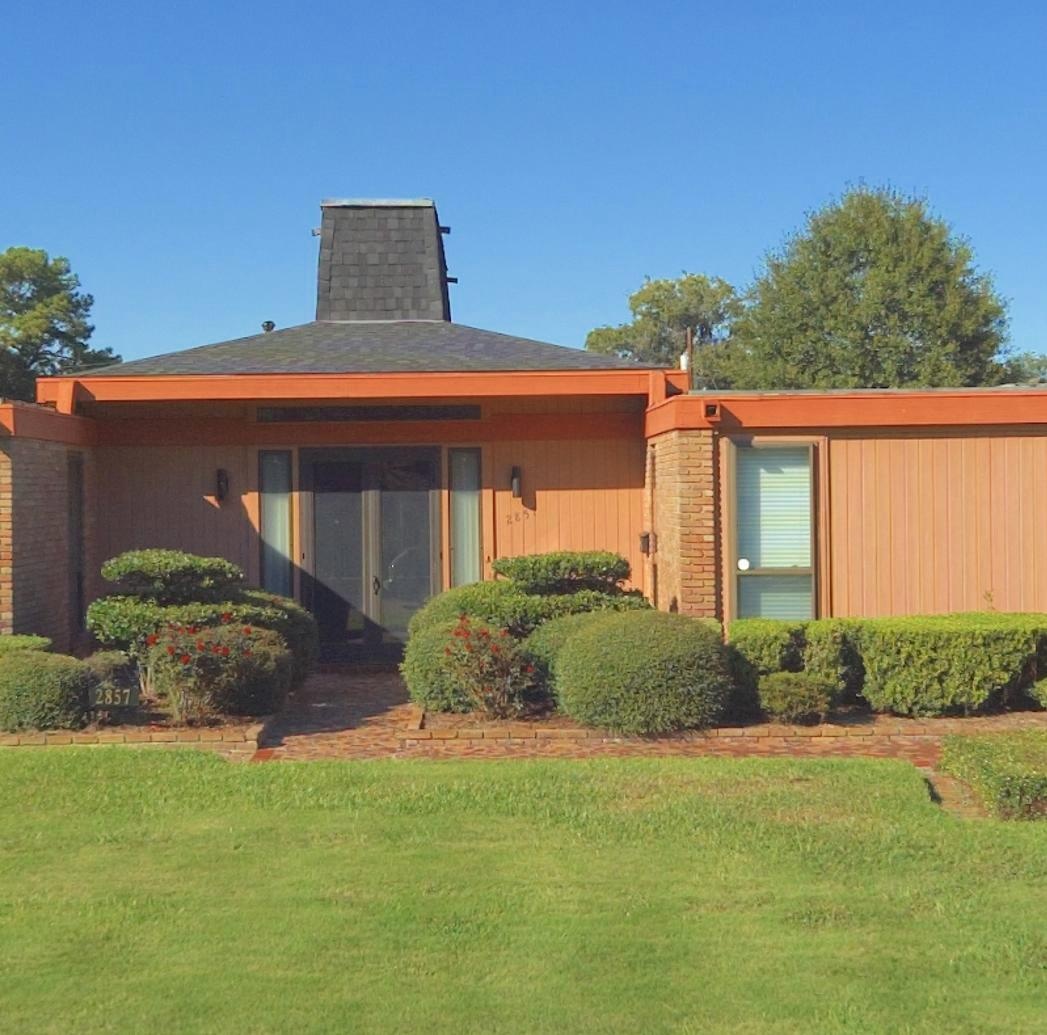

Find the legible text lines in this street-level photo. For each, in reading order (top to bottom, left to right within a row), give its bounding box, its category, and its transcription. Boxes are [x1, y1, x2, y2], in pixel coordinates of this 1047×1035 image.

[504, 505, 538, 527] StreetNumber: 2857
[93, 687, 133, 707] StreetNumber: 2857